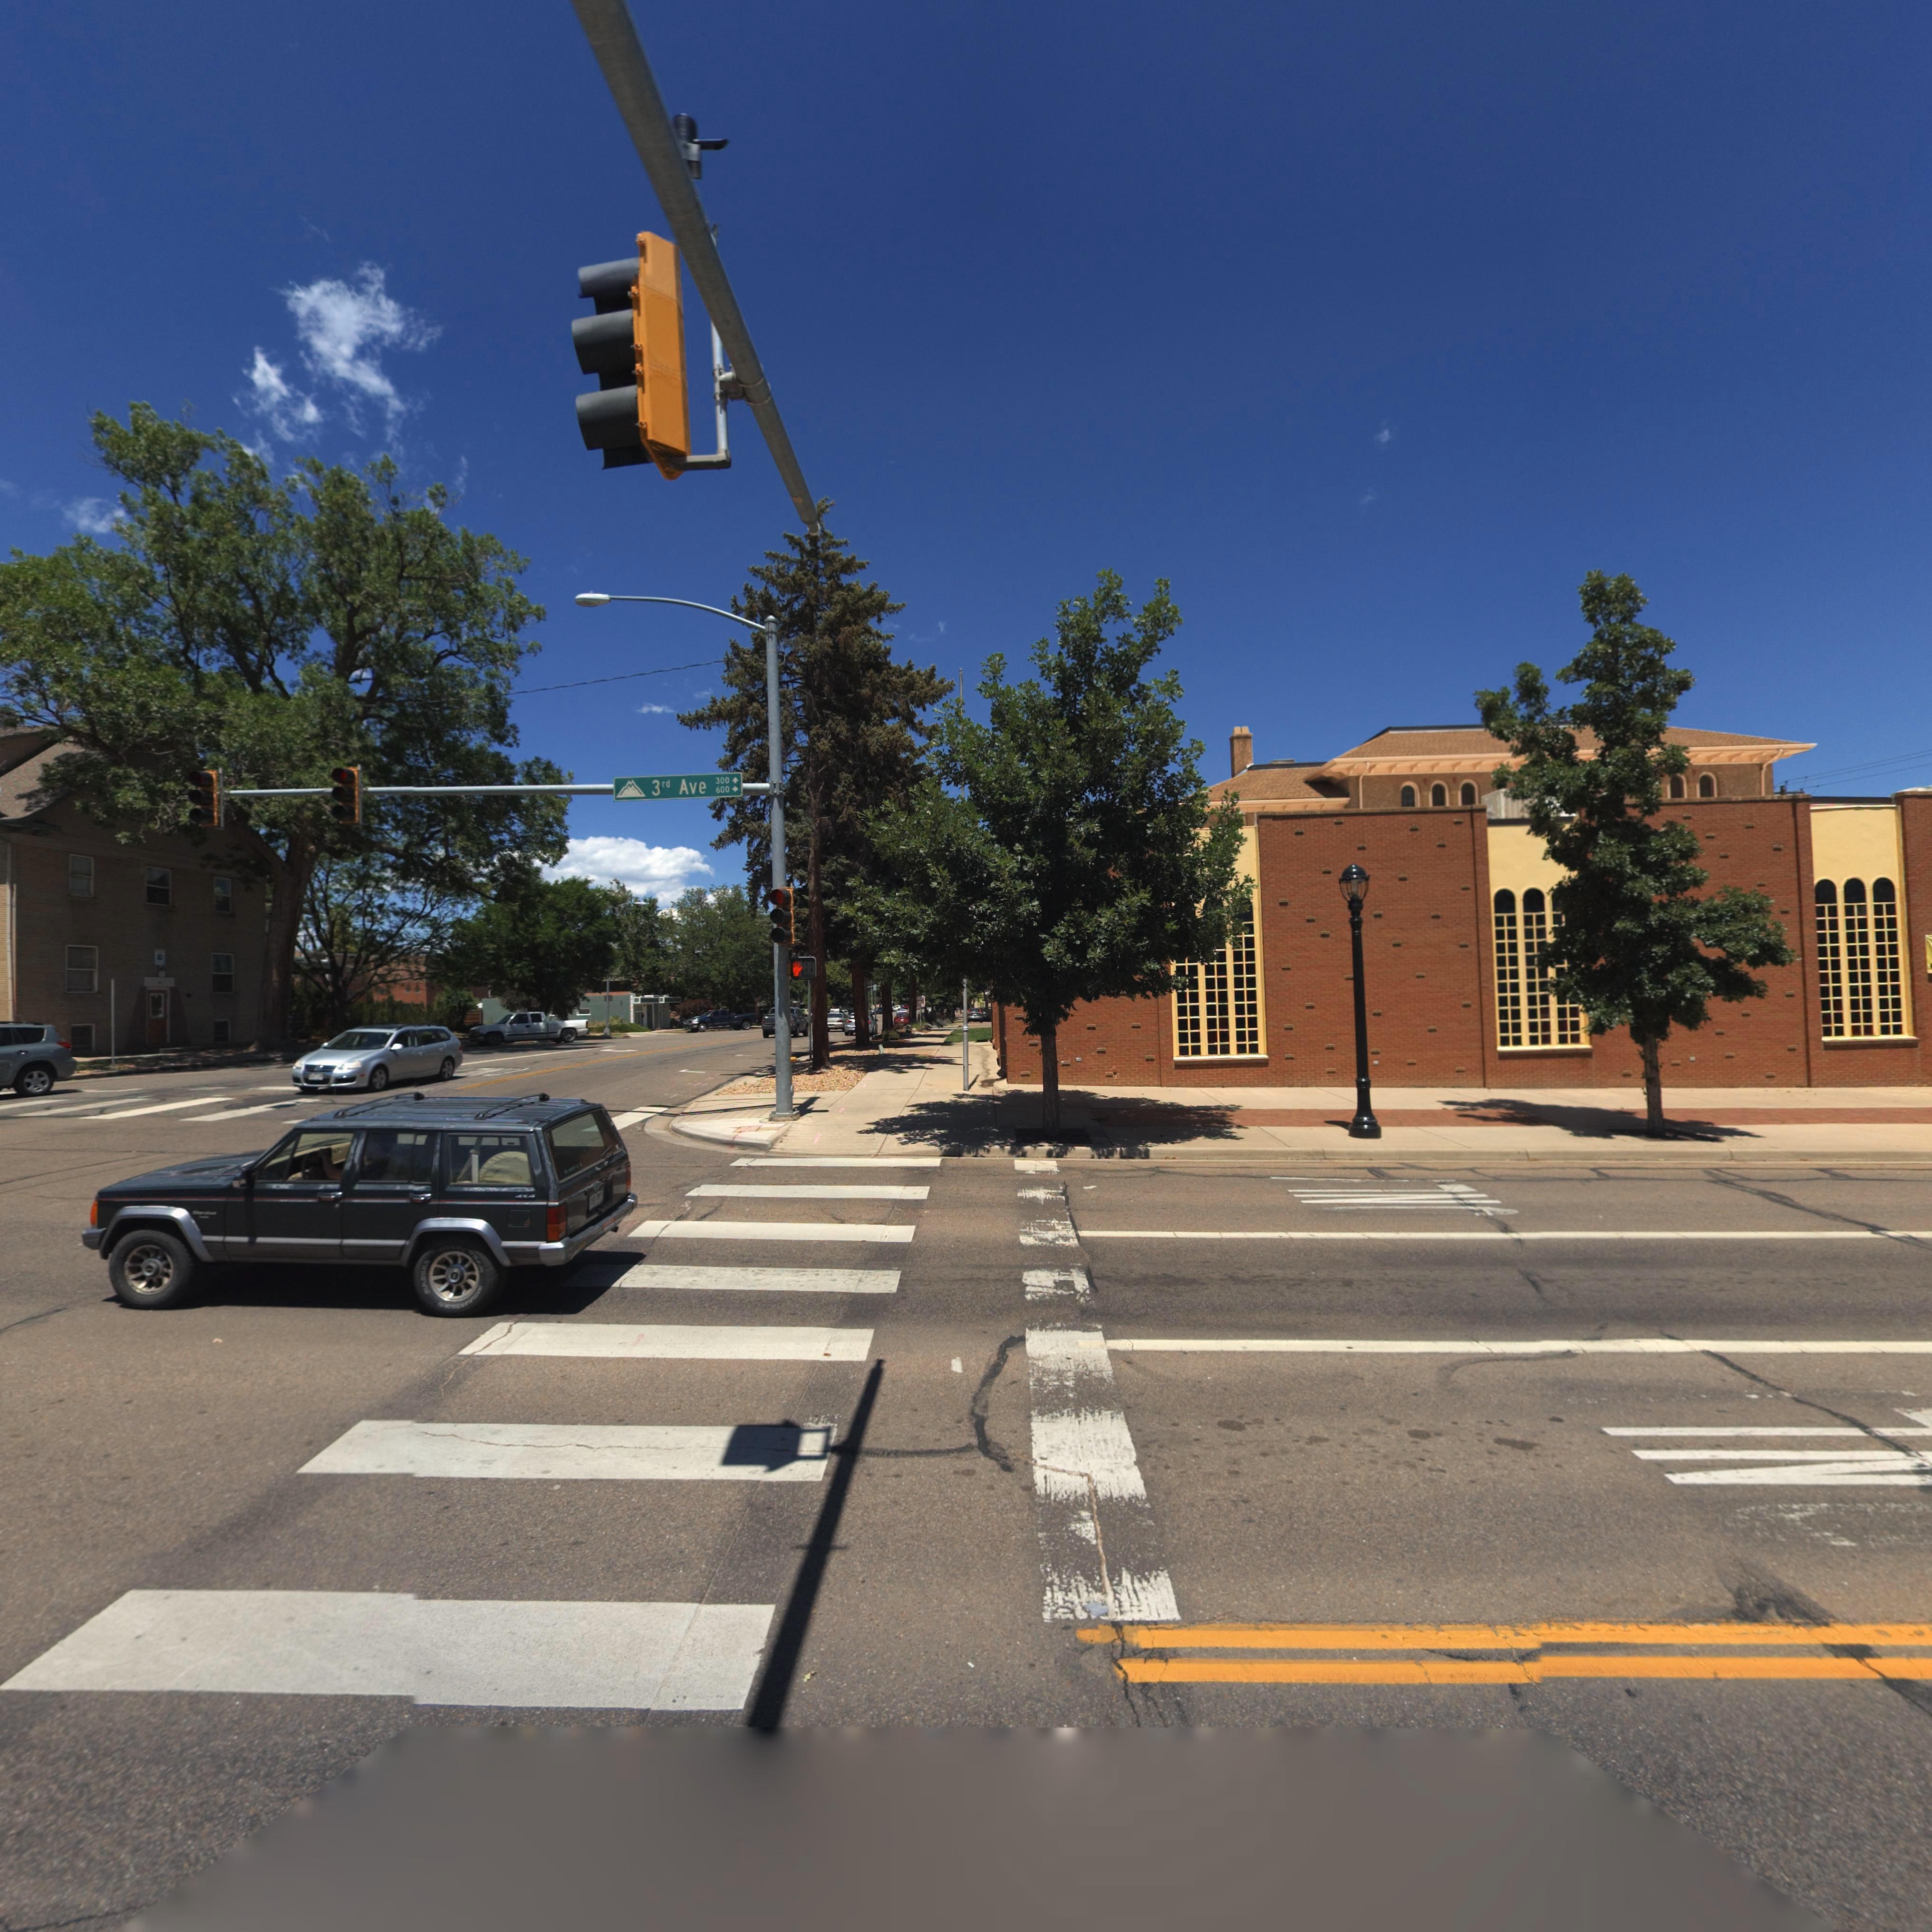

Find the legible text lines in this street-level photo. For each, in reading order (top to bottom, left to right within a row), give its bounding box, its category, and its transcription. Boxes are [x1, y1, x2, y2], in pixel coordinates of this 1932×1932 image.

[715, 777, 729, 784] StreetNumberRange: 300
[650, 779, 708, 796] StreetName: 3rd Ave
[715, 785, 739, 793] StreetNumberRange: 600 ->